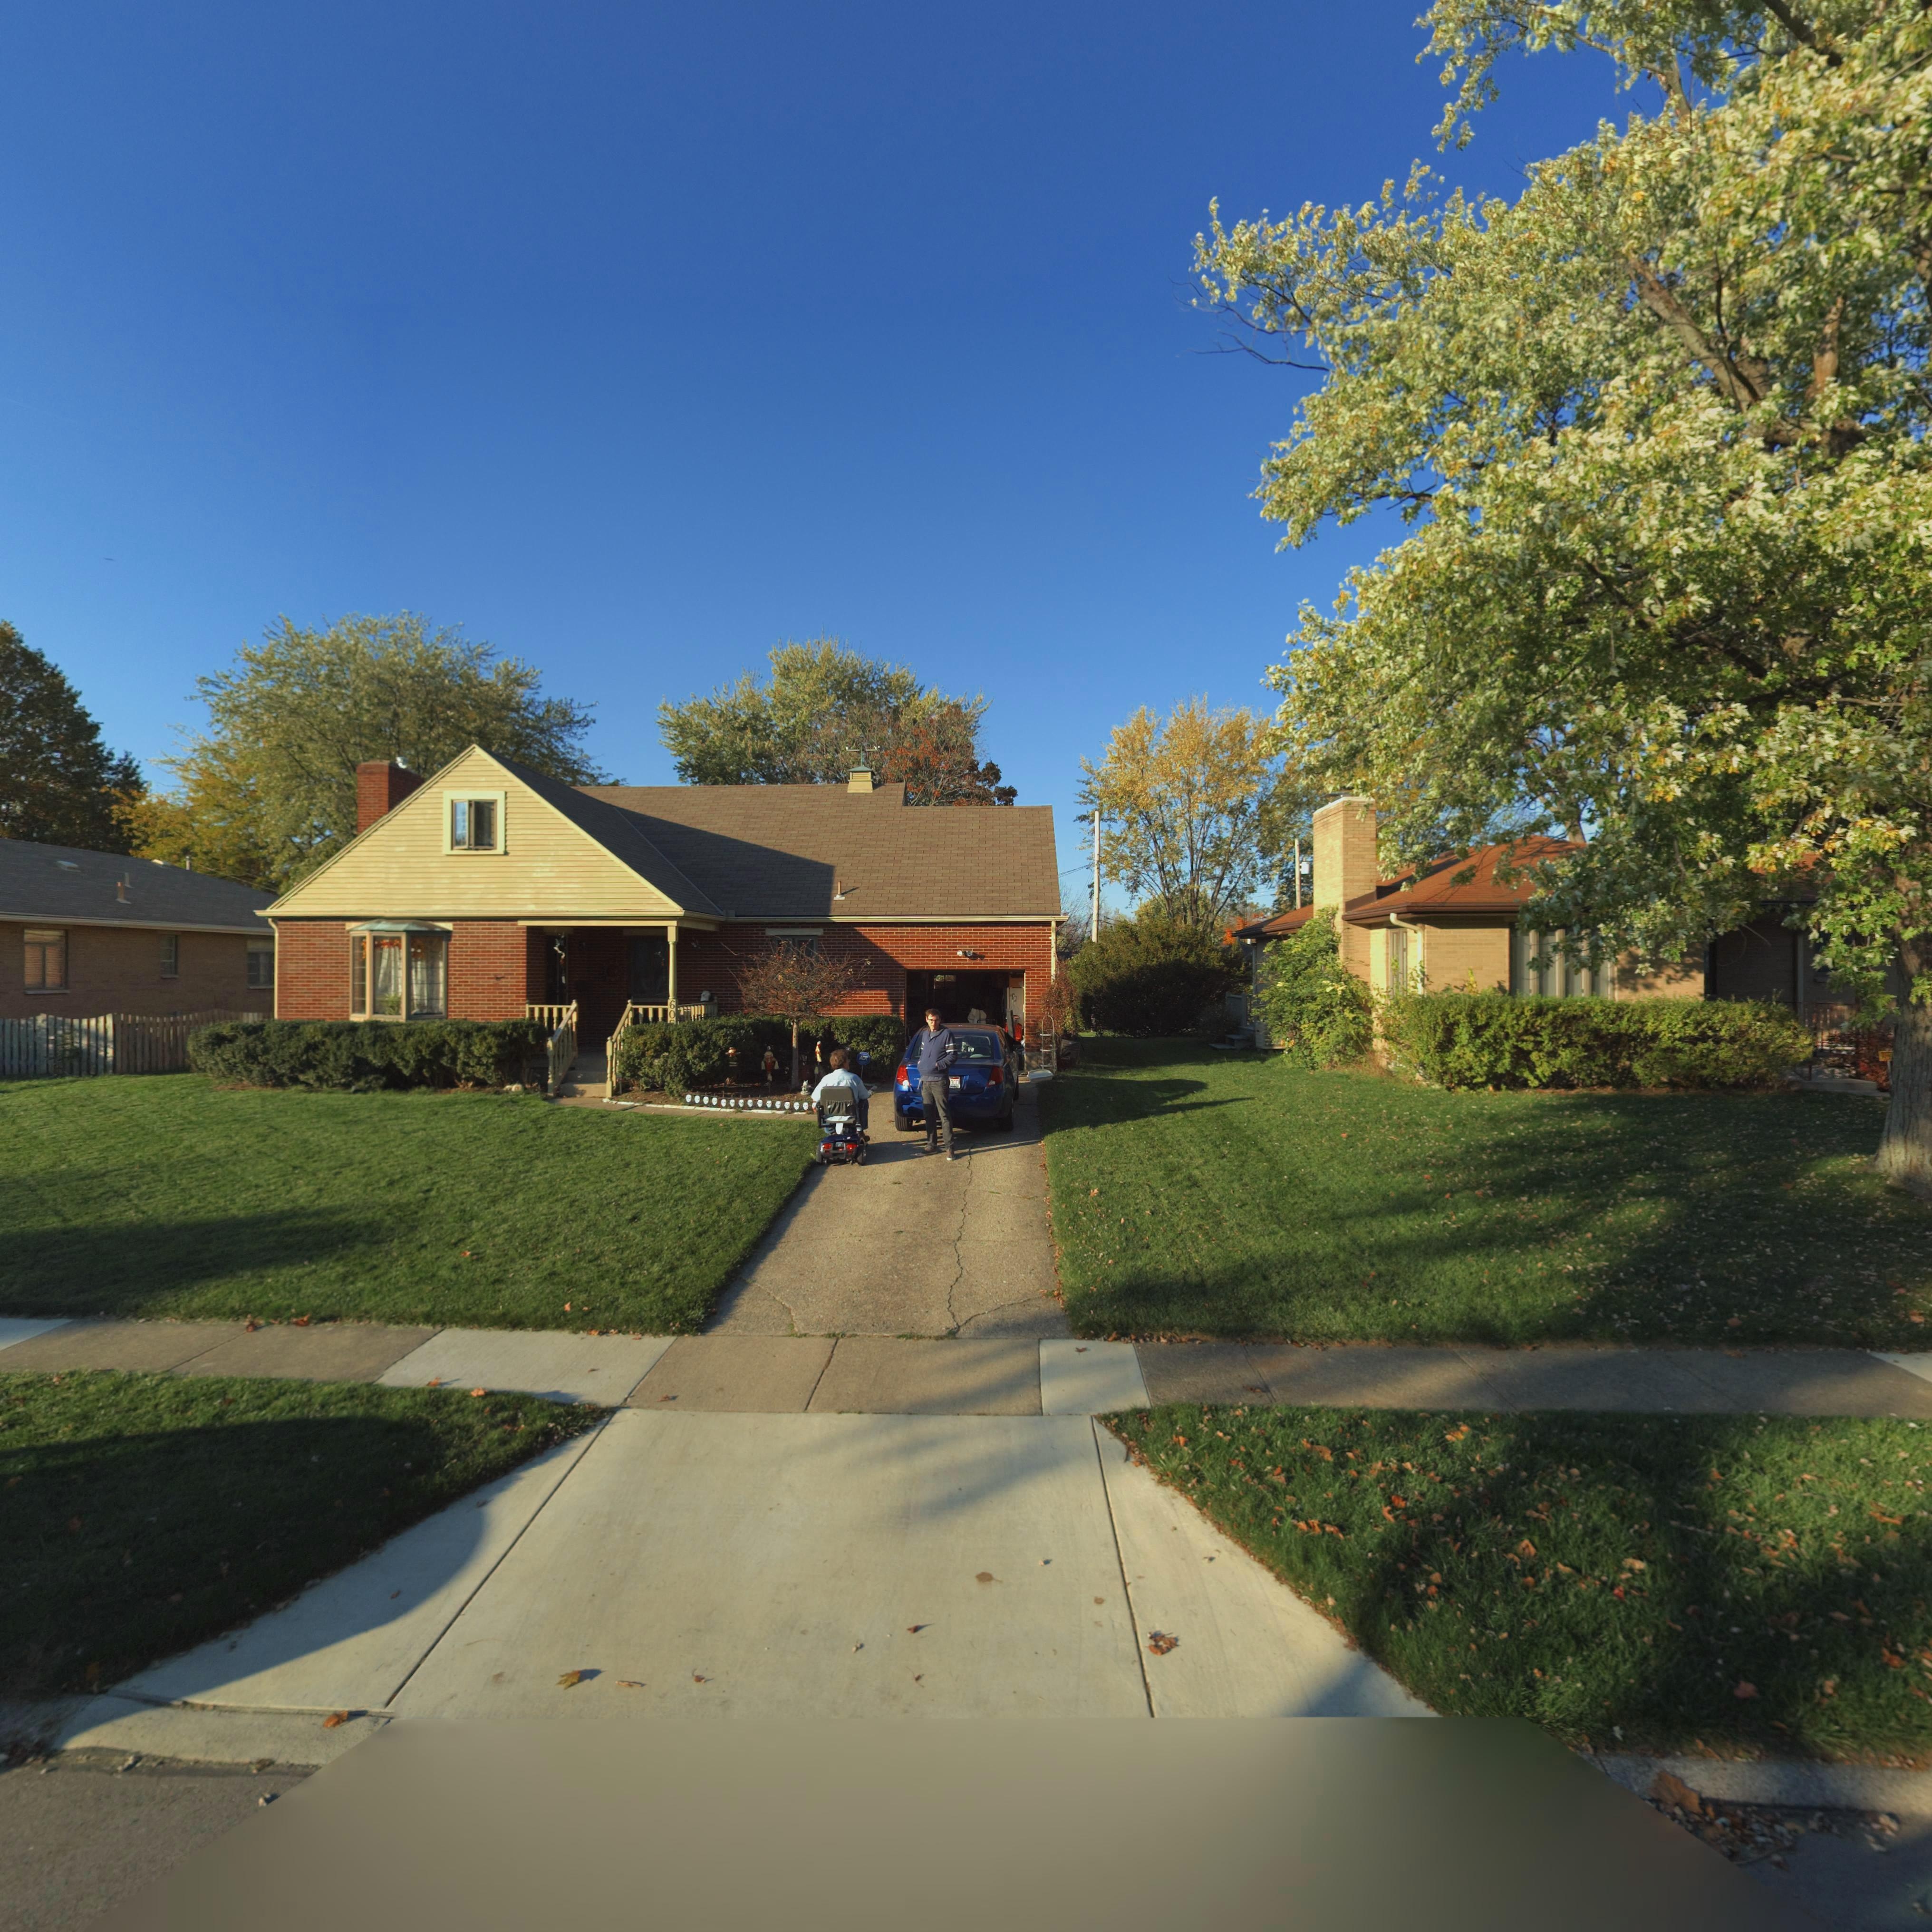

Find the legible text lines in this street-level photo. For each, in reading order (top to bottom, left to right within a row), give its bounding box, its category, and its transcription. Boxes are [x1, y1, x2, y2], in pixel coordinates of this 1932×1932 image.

[668, 999, 676, 1020] StreetNumber: 60